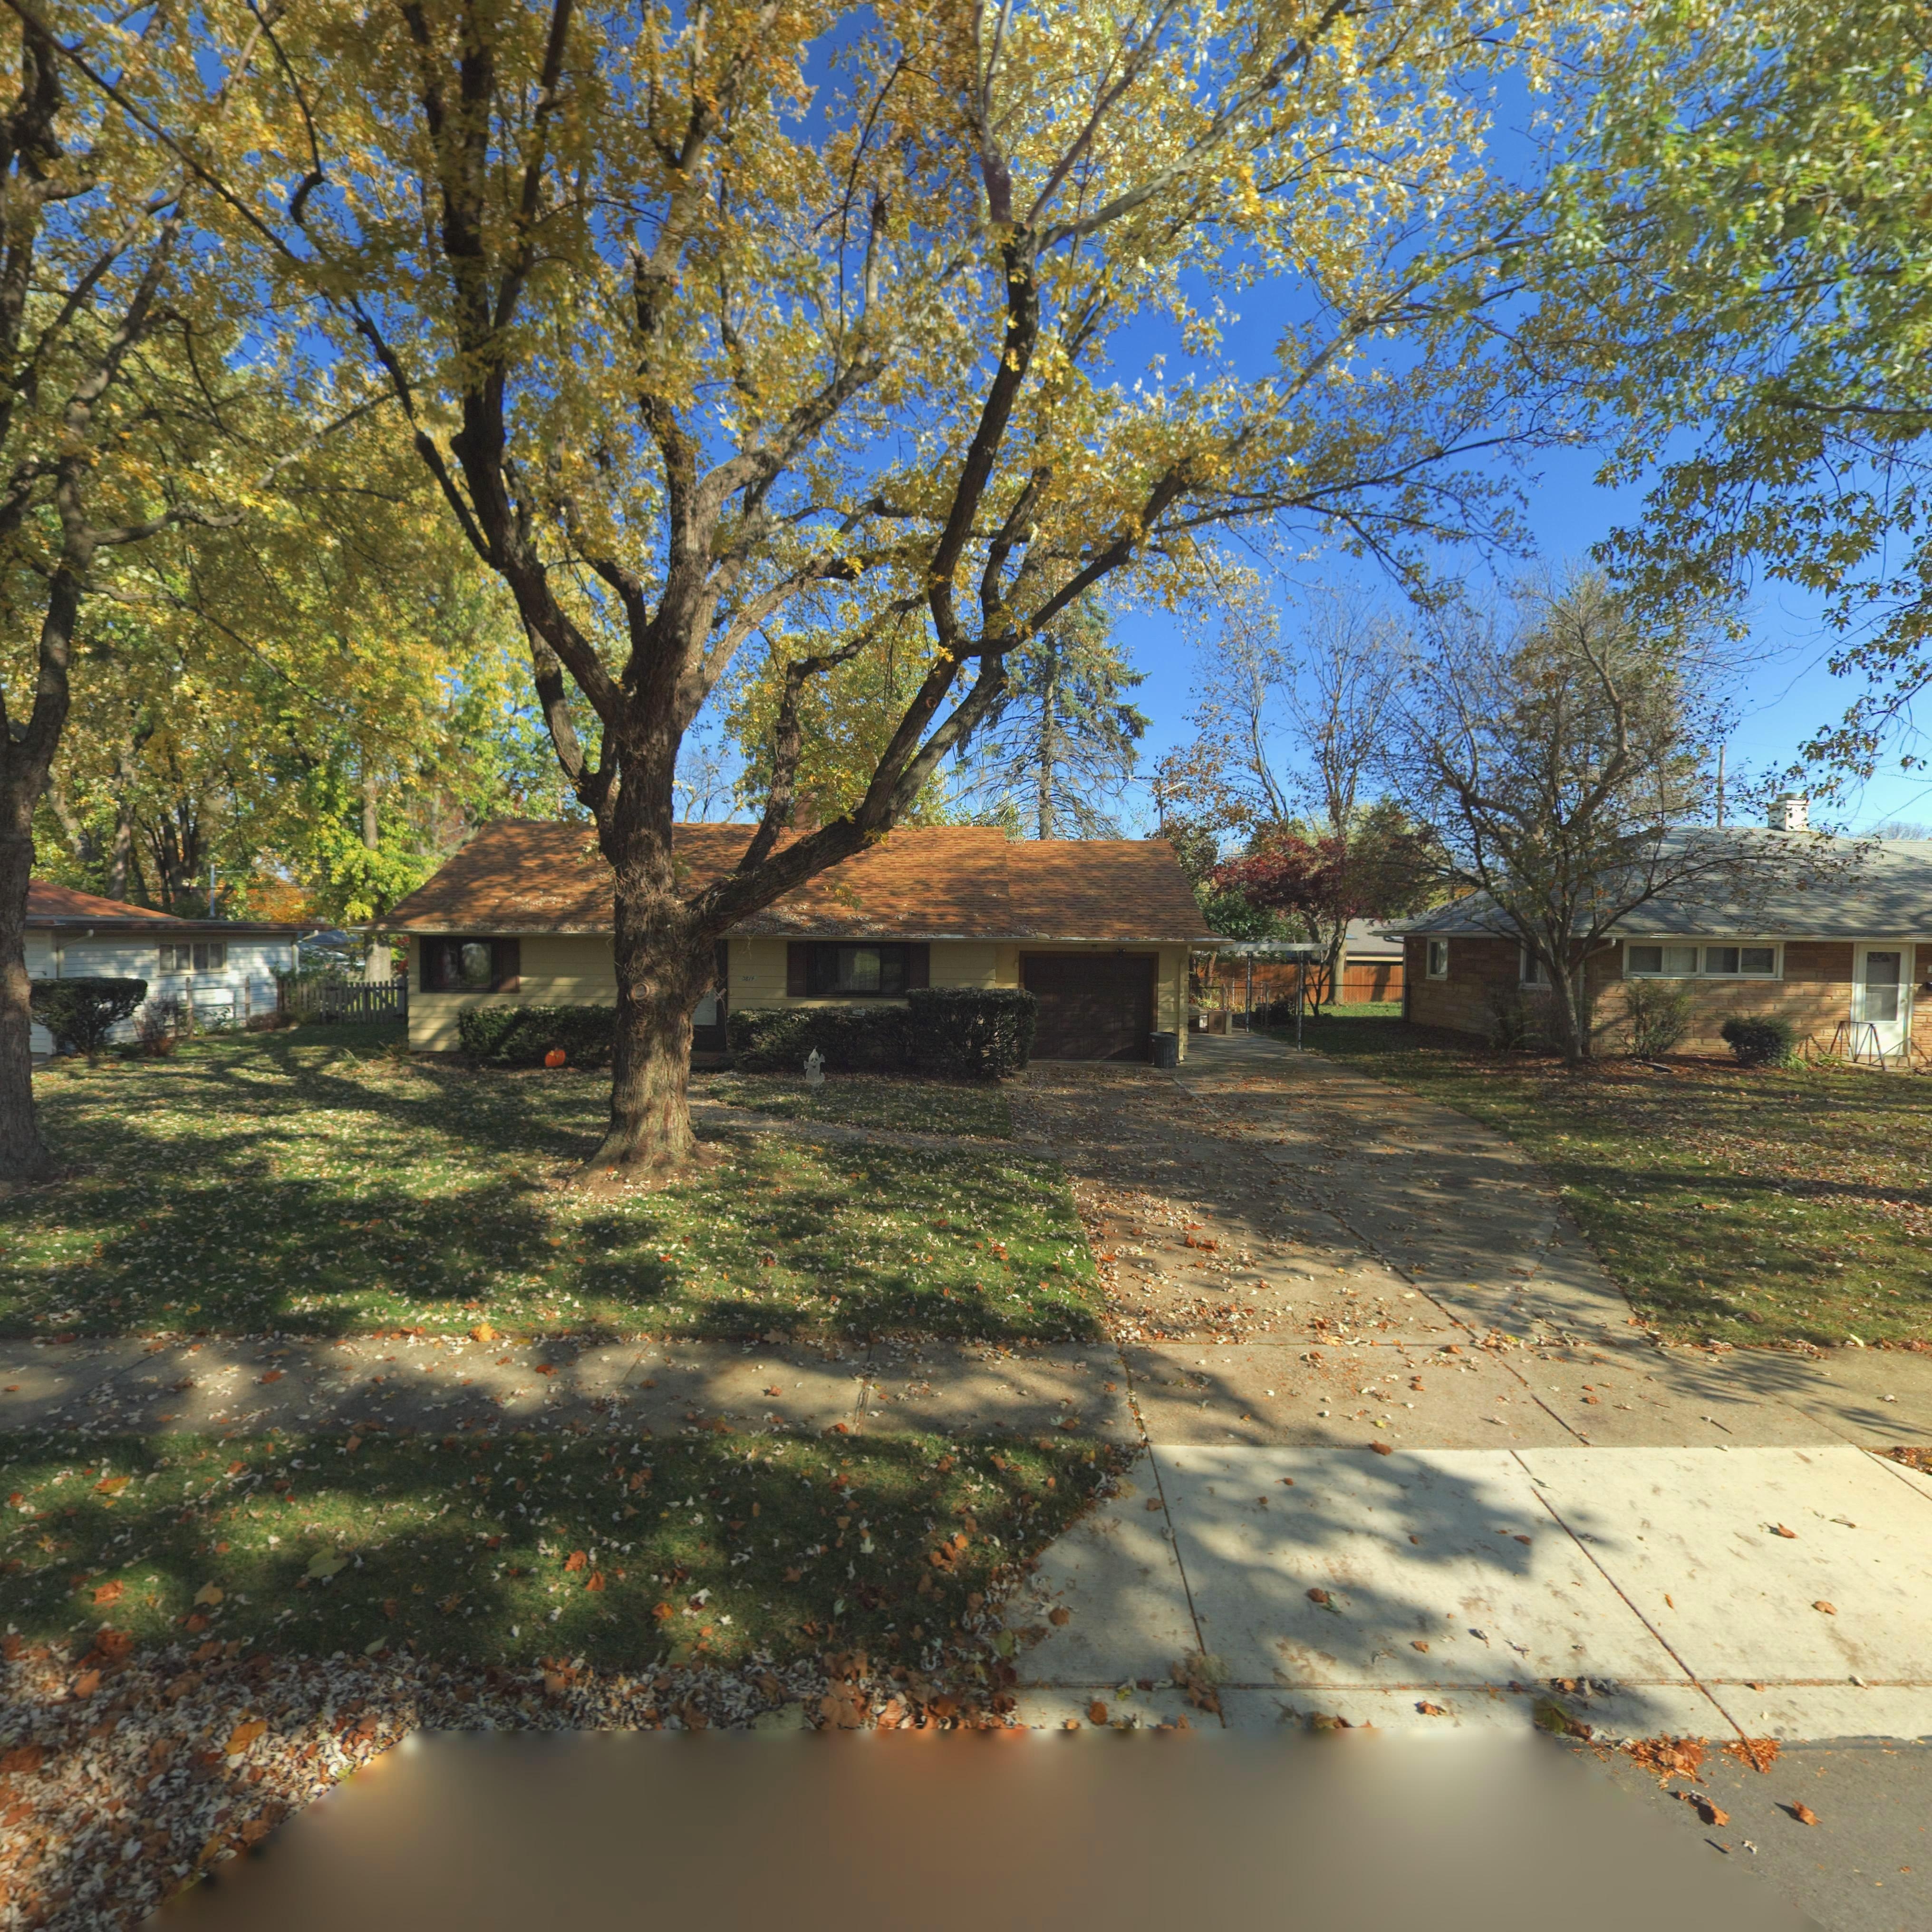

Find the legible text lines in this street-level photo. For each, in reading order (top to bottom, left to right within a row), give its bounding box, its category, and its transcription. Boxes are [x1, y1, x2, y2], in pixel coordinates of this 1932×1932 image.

[742, 976, 755, 981] StreetNumber: 3814